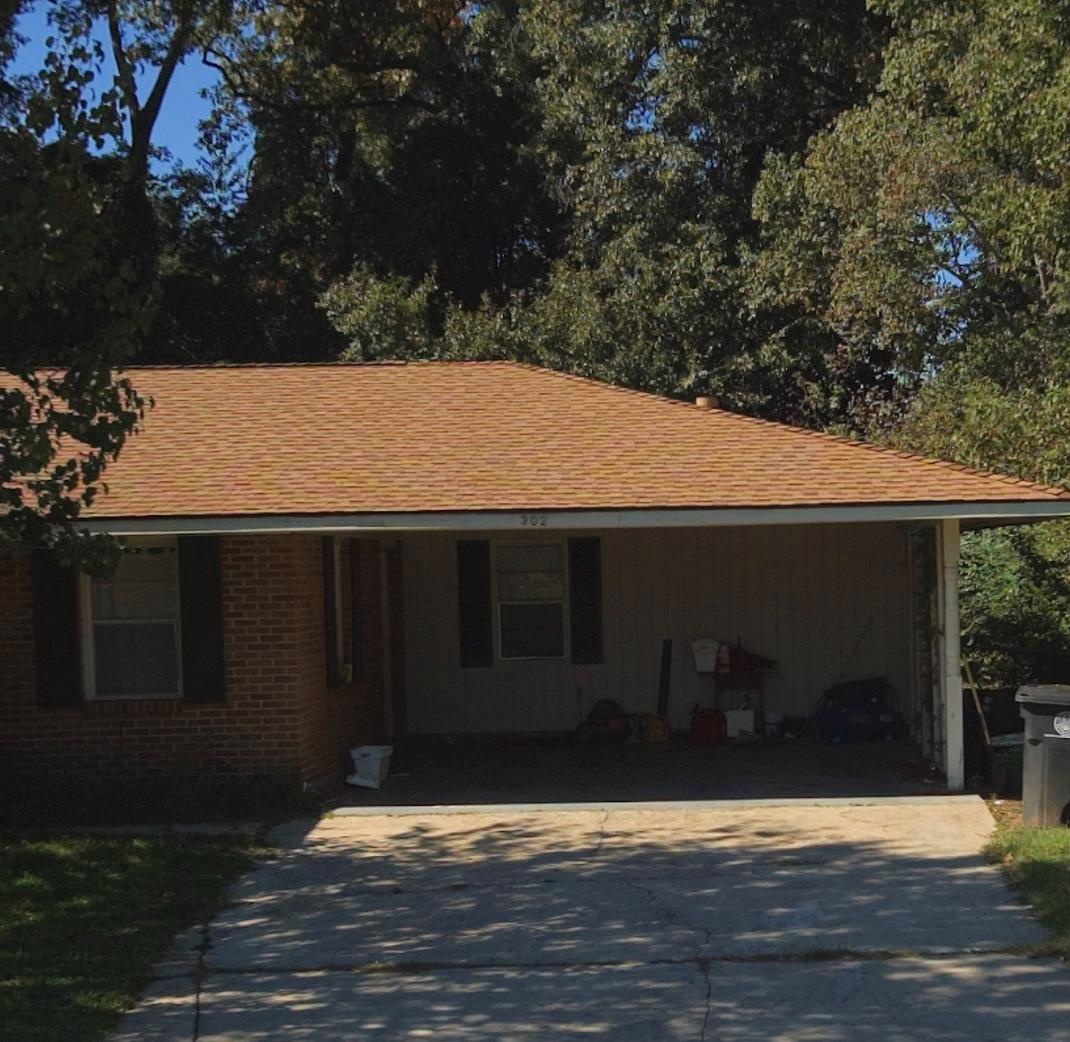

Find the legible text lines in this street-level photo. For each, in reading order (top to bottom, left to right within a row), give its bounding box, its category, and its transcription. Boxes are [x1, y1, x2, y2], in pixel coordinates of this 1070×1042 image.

[519, 512, 549, 529] StreetNumber: 302